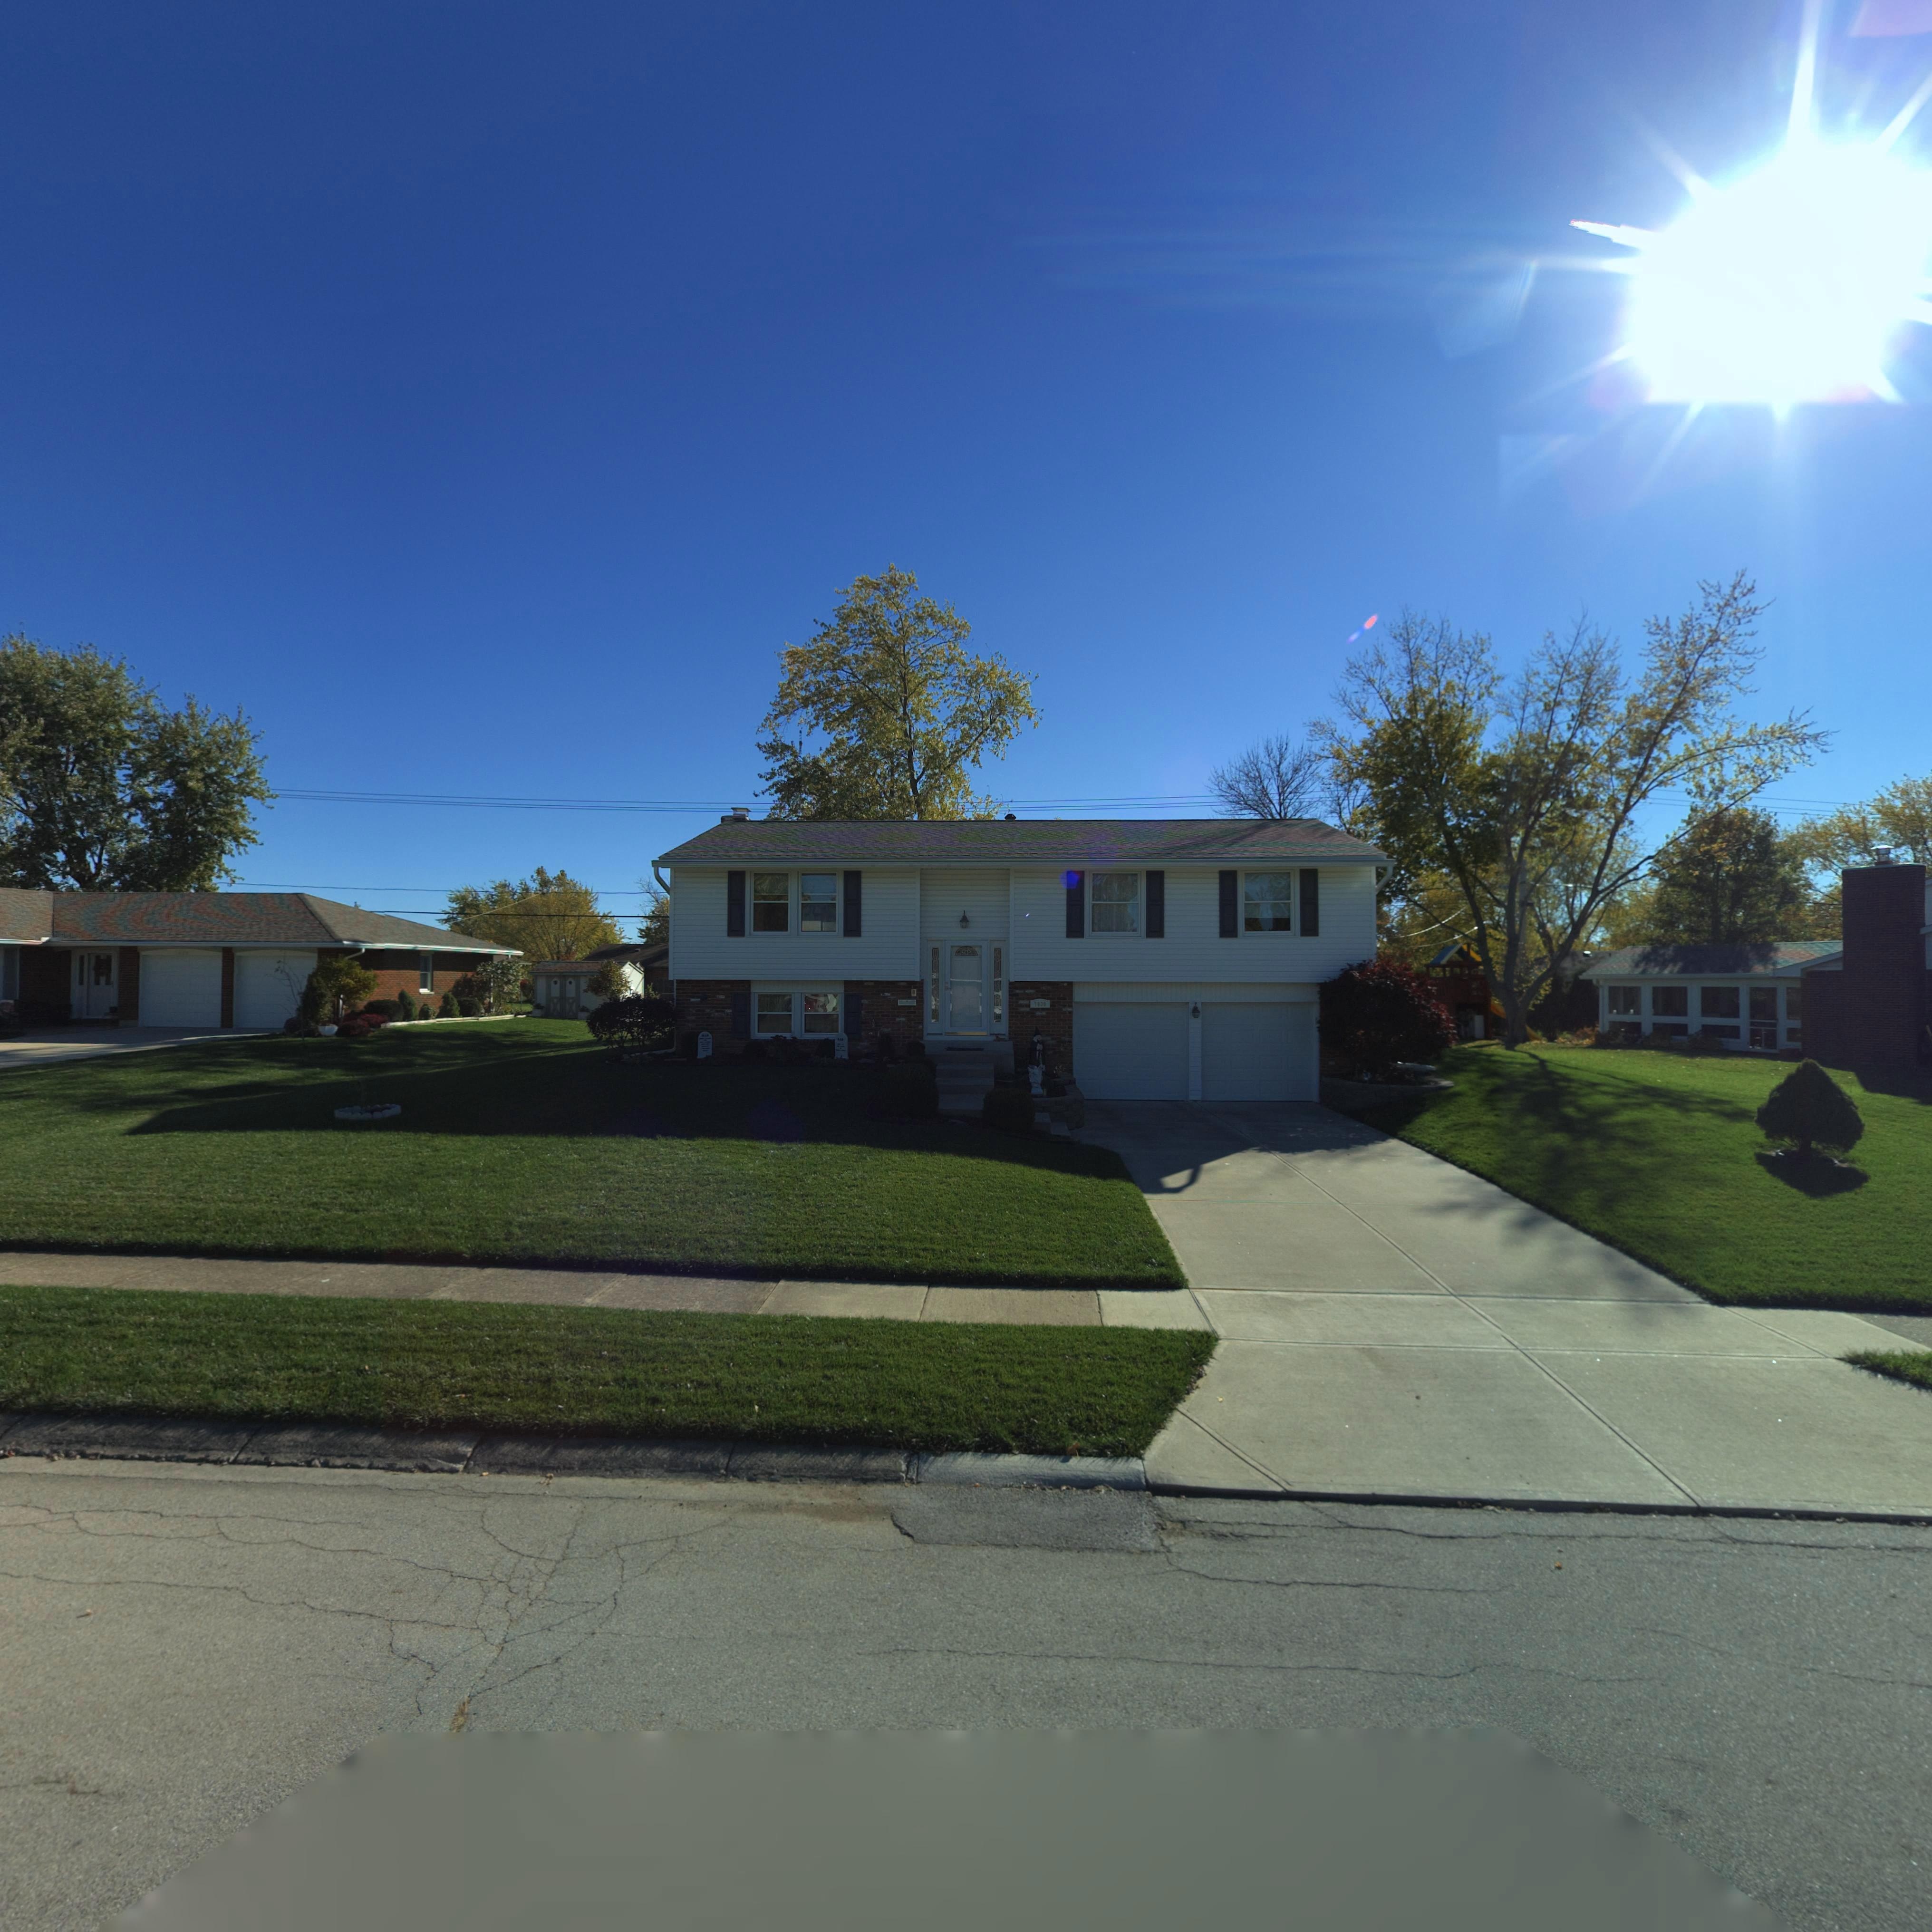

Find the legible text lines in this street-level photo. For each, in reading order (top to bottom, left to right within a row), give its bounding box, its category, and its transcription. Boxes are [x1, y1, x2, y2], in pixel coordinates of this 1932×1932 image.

[1033, 1000, 1048, 1009] StreetNumber: 7***